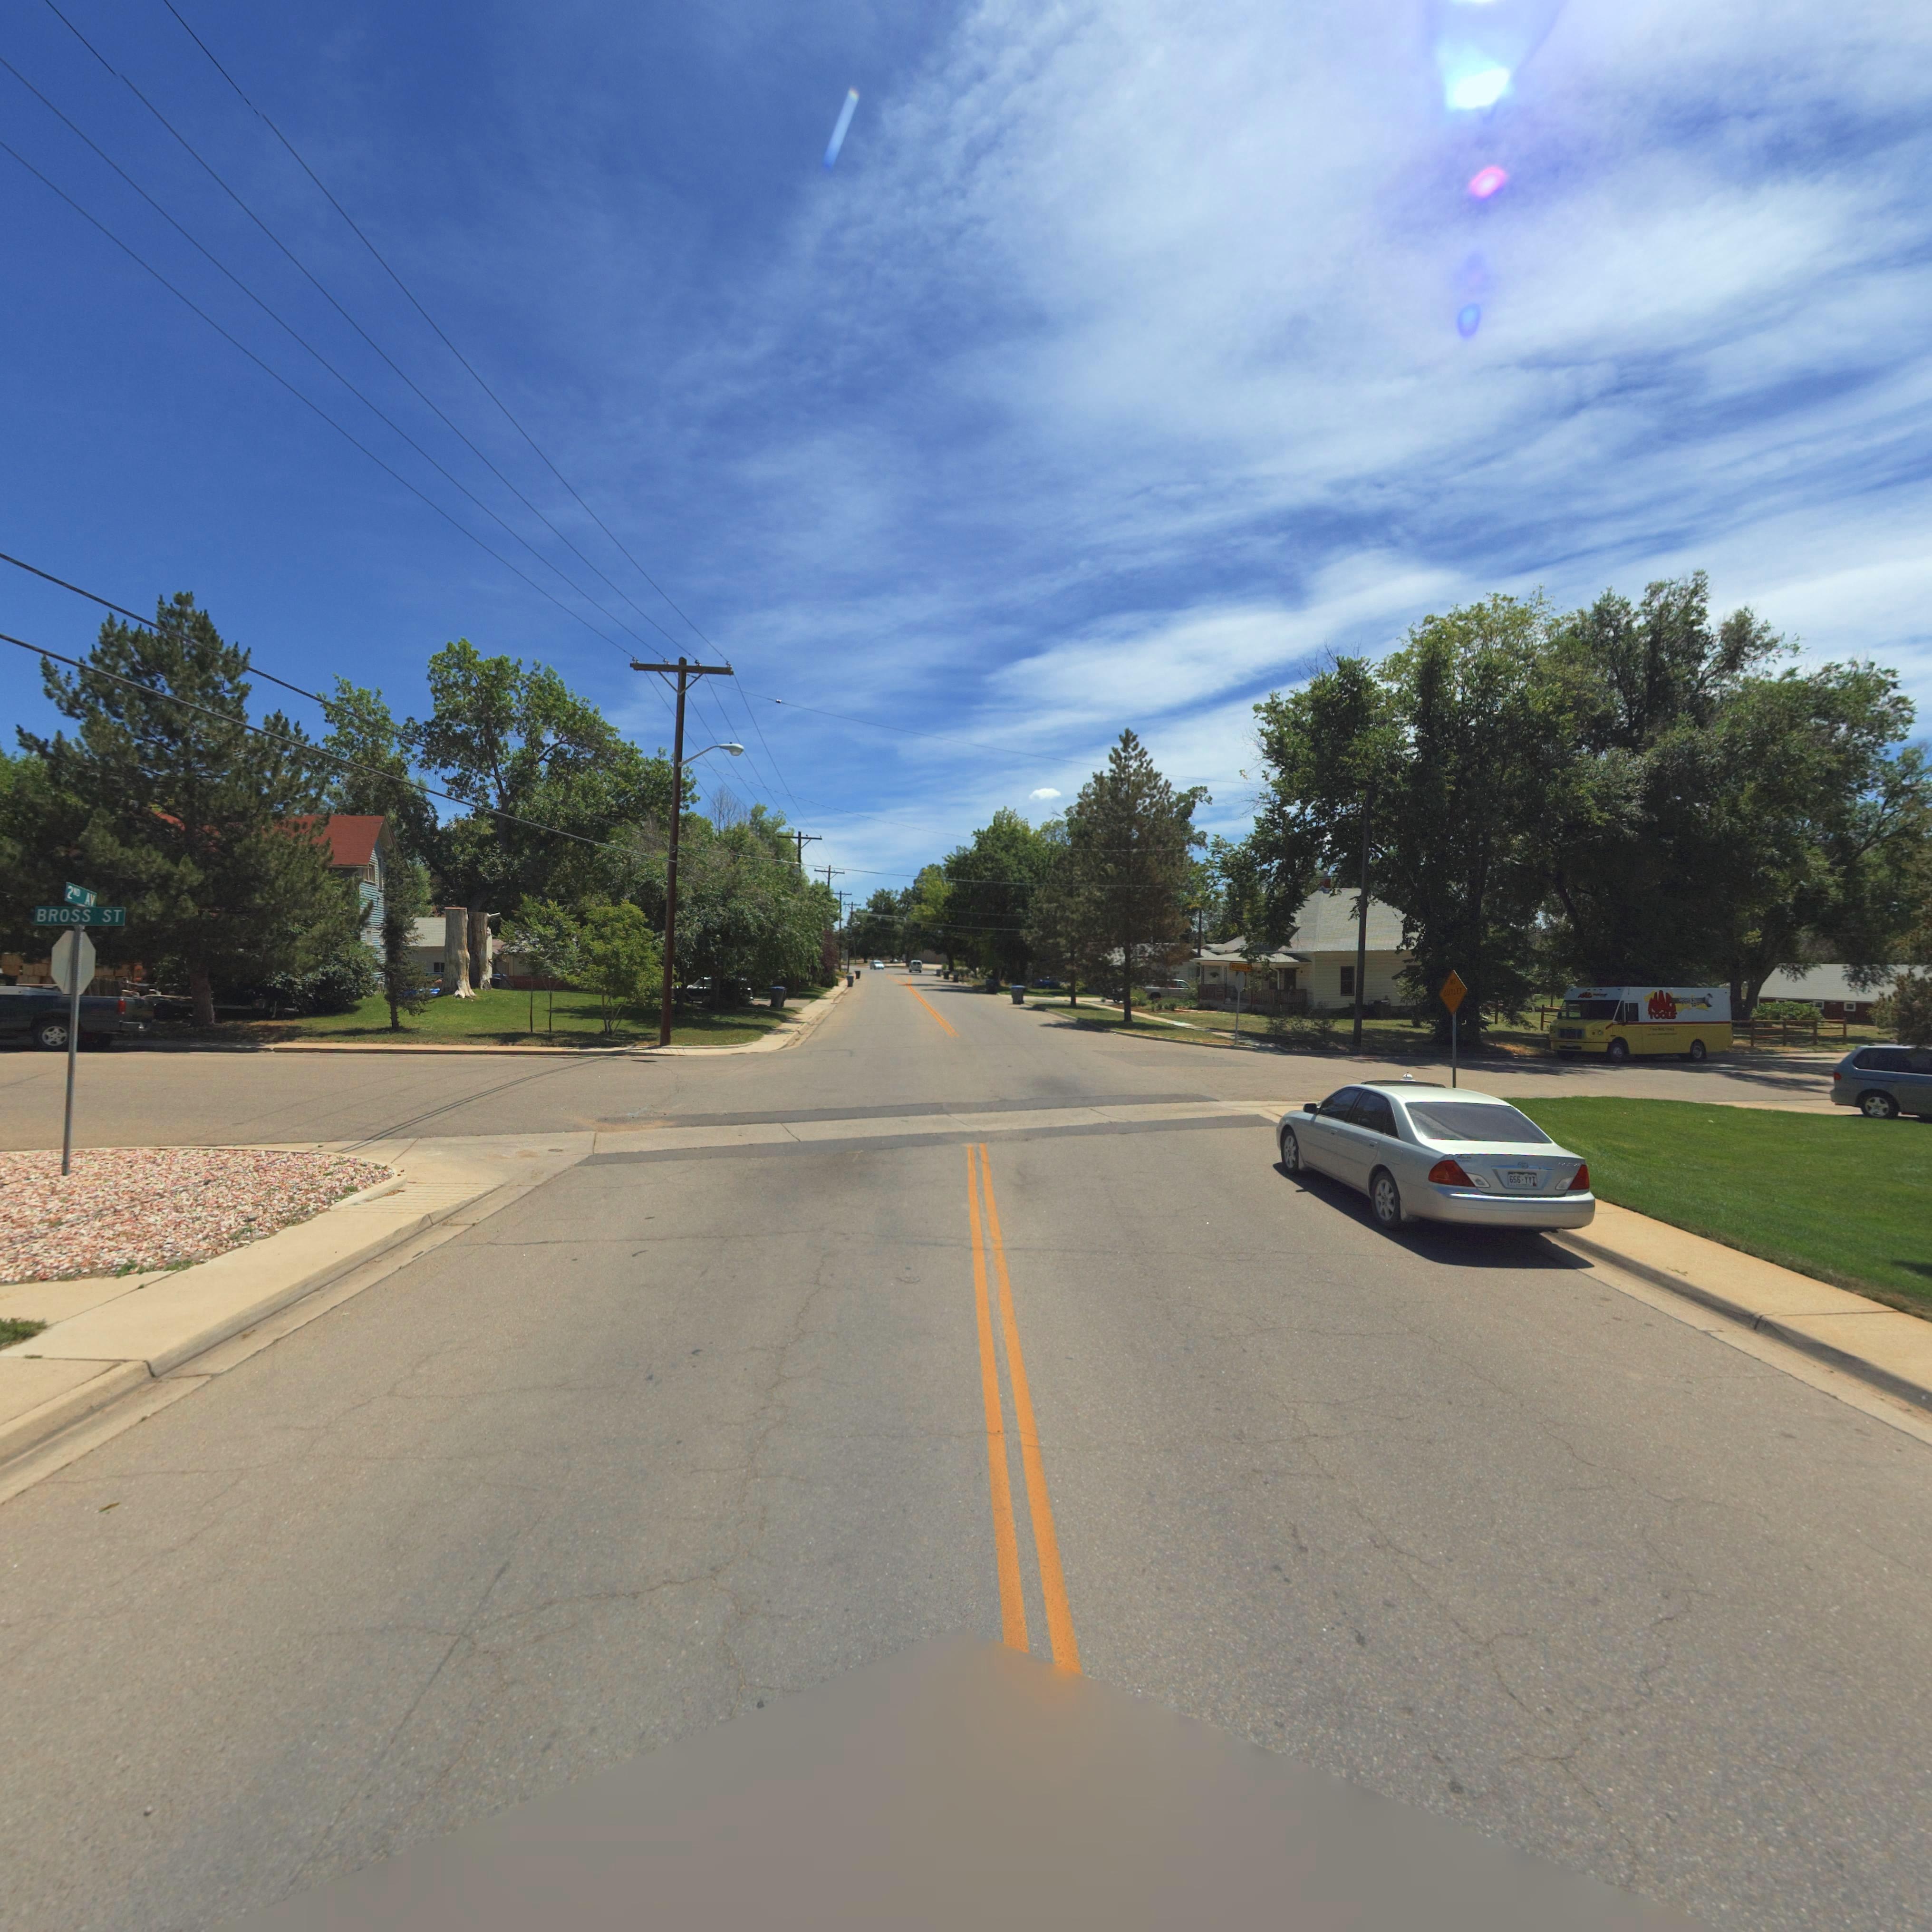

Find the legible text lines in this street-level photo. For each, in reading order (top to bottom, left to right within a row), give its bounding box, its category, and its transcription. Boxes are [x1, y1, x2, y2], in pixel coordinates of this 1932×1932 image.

[66, 885, 97, 907] StreetName: 2ND AV
[36, 908, 123, 922] StreetName: BROSS ST